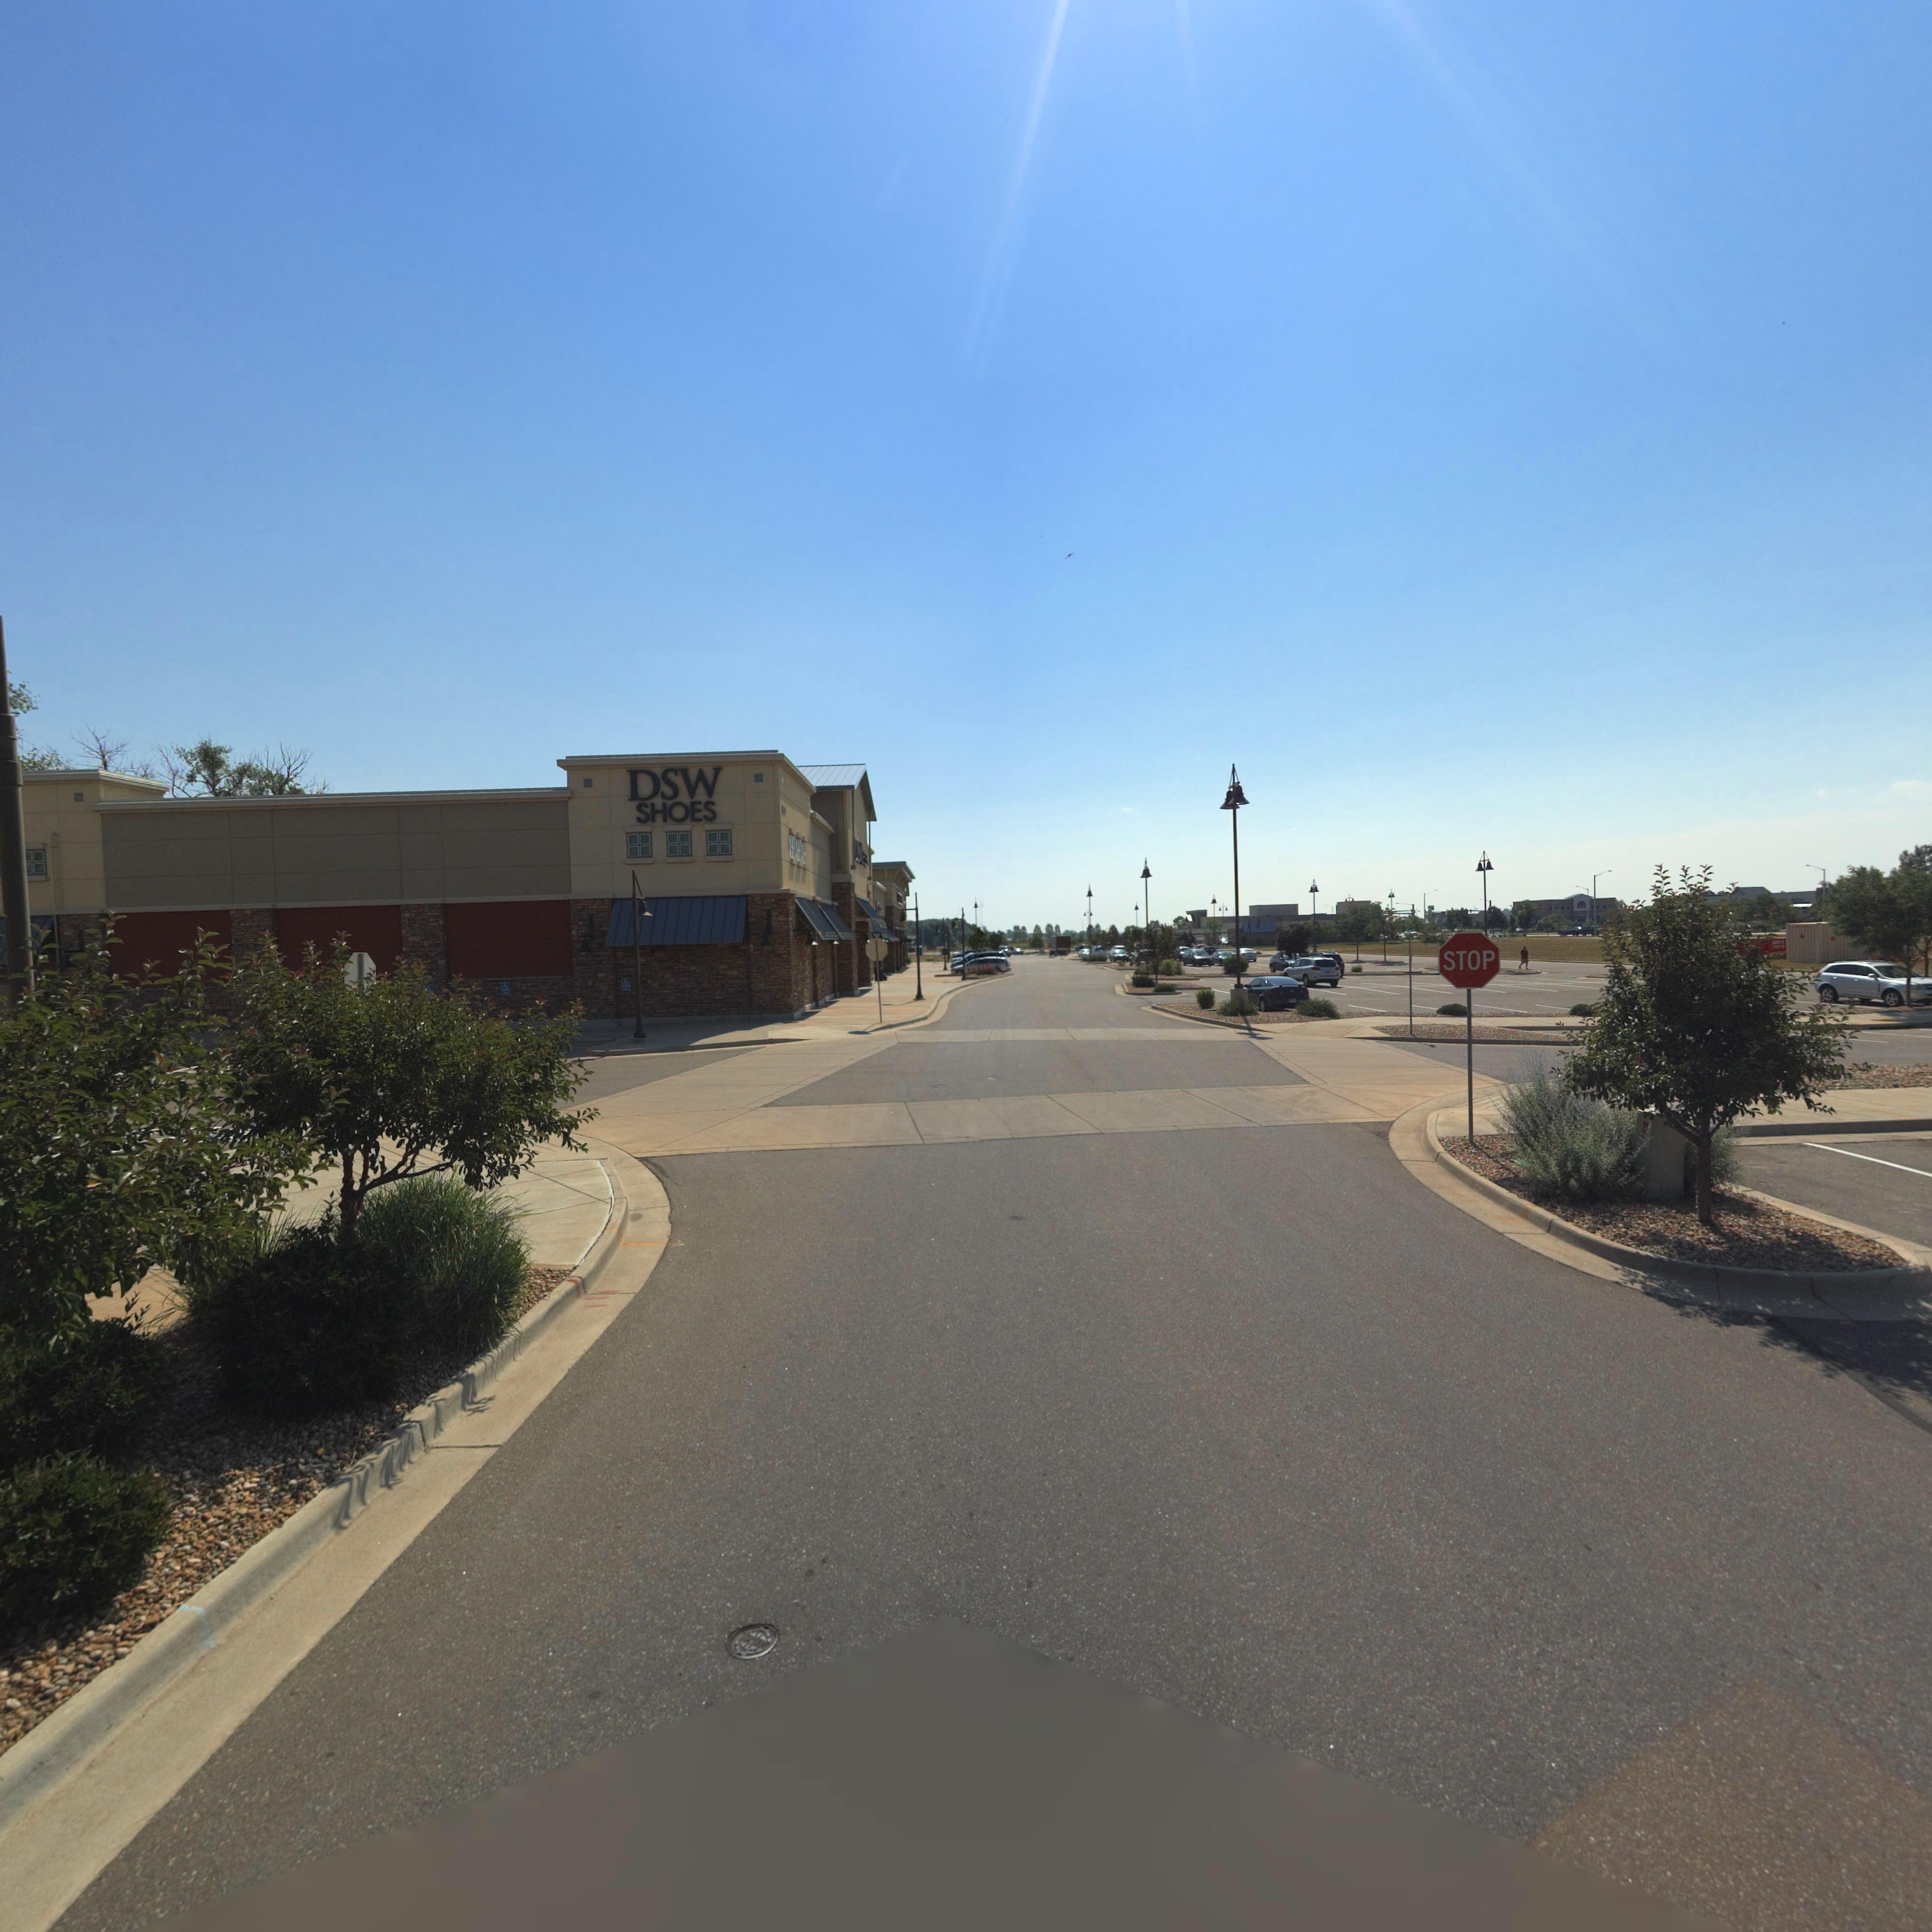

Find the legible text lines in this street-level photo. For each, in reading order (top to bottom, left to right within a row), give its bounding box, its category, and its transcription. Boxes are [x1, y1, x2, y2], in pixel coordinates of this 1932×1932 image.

[626, 766, 722, 801] BusinessName: DSW
[634, 800, 717, 824] BusinessName: SHOES